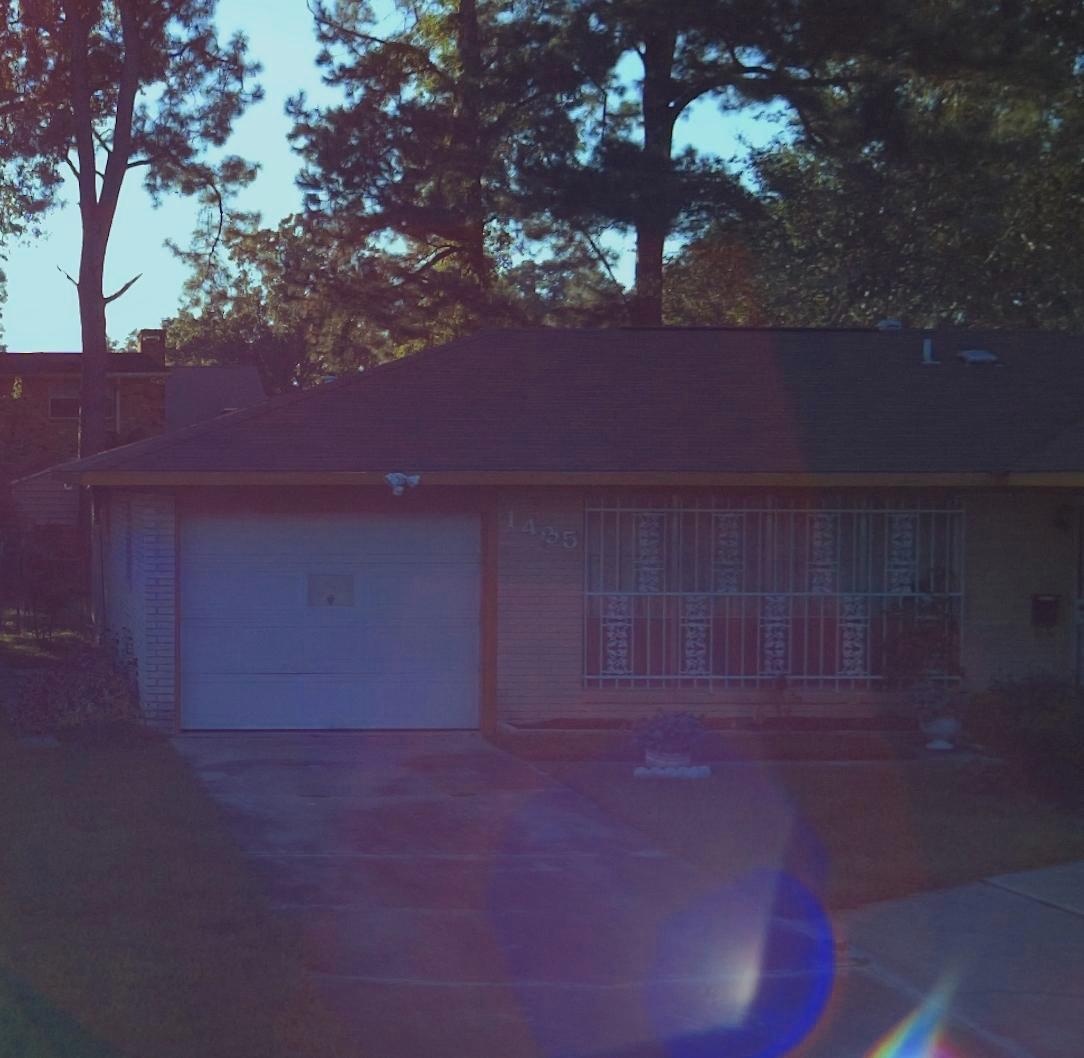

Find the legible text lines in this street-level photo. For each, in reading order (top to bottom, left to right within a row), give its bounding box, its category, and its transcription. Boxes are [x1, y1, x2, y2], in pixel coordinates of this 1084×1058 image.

[504, 509, 579, 552] StreetNumber: 1435